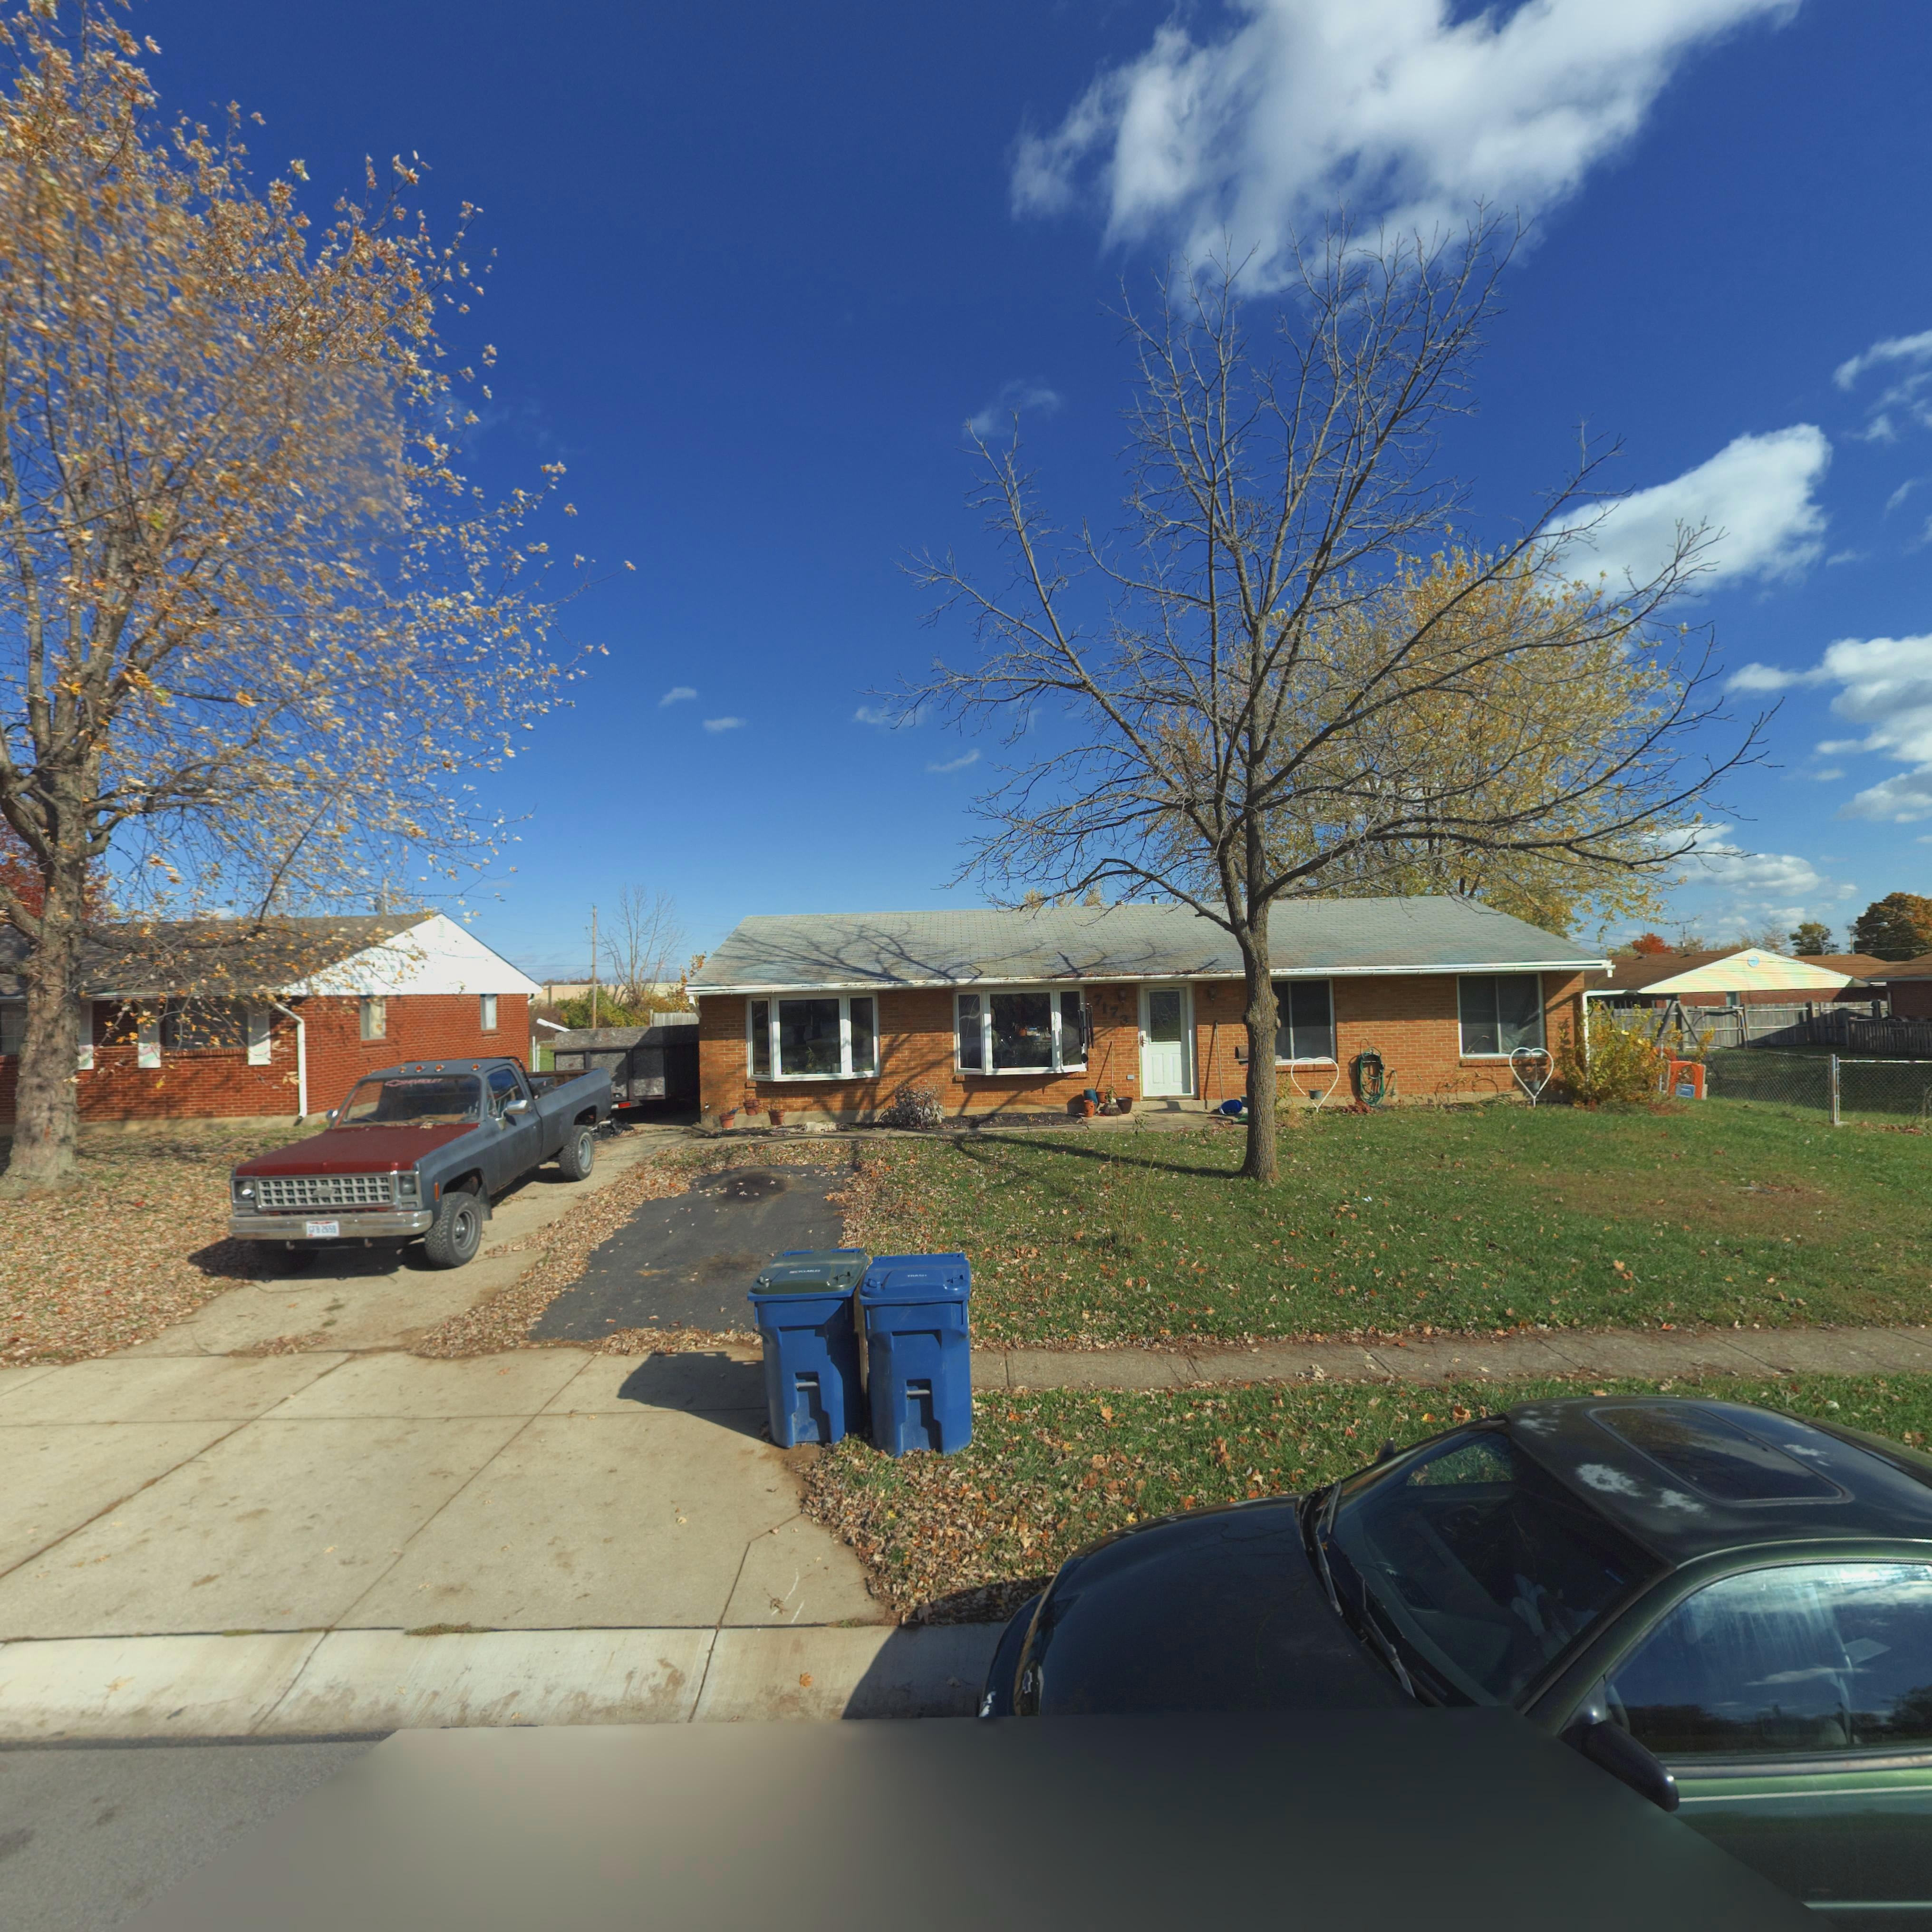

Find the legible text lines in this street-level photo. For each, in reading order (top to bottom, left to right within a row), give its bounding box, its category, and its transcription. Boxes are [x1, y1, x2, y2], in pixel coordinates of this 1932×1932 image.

[1093, 994, 1130, 1027] StreetNumber: 7173